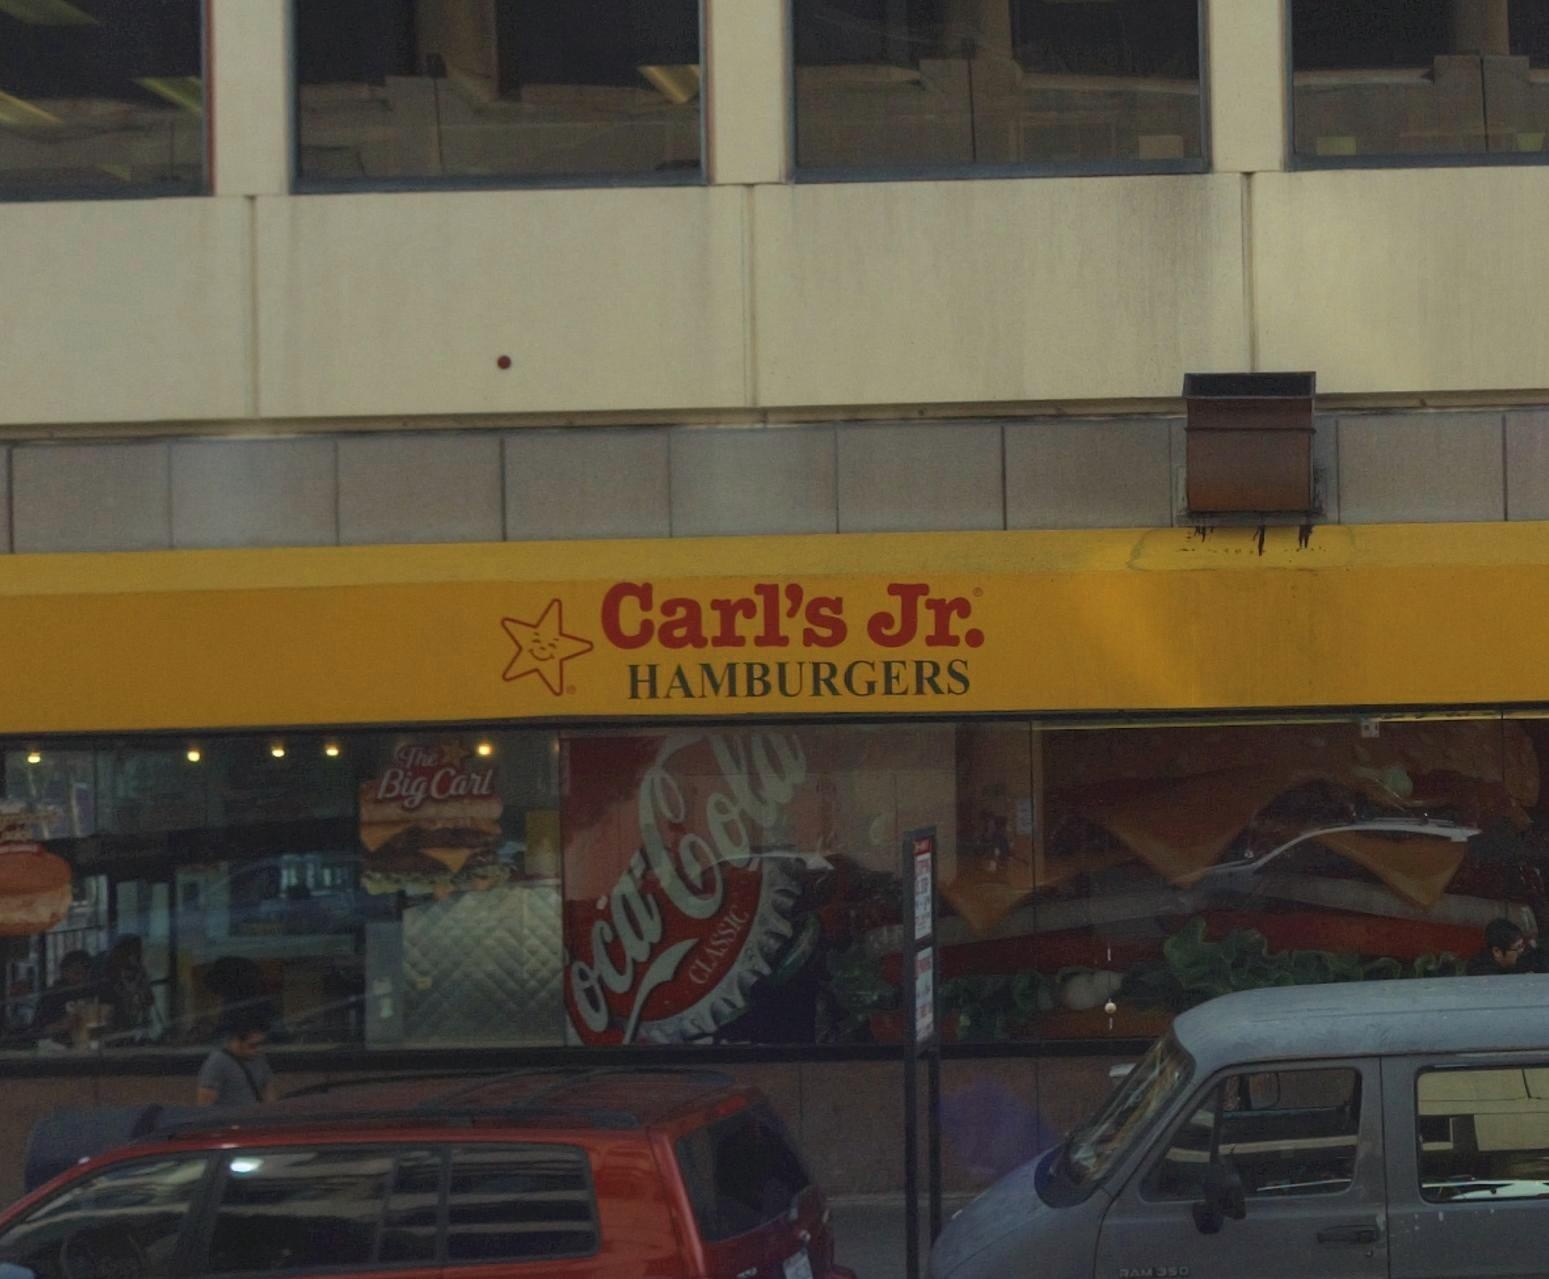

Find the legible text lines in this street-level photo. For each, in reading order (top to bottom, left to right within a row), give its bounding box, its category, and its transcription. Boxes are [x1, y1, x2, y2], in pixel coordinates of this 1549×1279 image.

[597, 577, 988, 653] BusinessName: Carl's Jr.
[621, 654, 977, 705] None: HAMBURGERS
[395, 742, 442, 772] None: The
[370, 763, 500, 812] None: Big Carl
[563, 719, 819, 1041] None: oca-Cola
[682, 899, 754, 991] None: CLASSIC